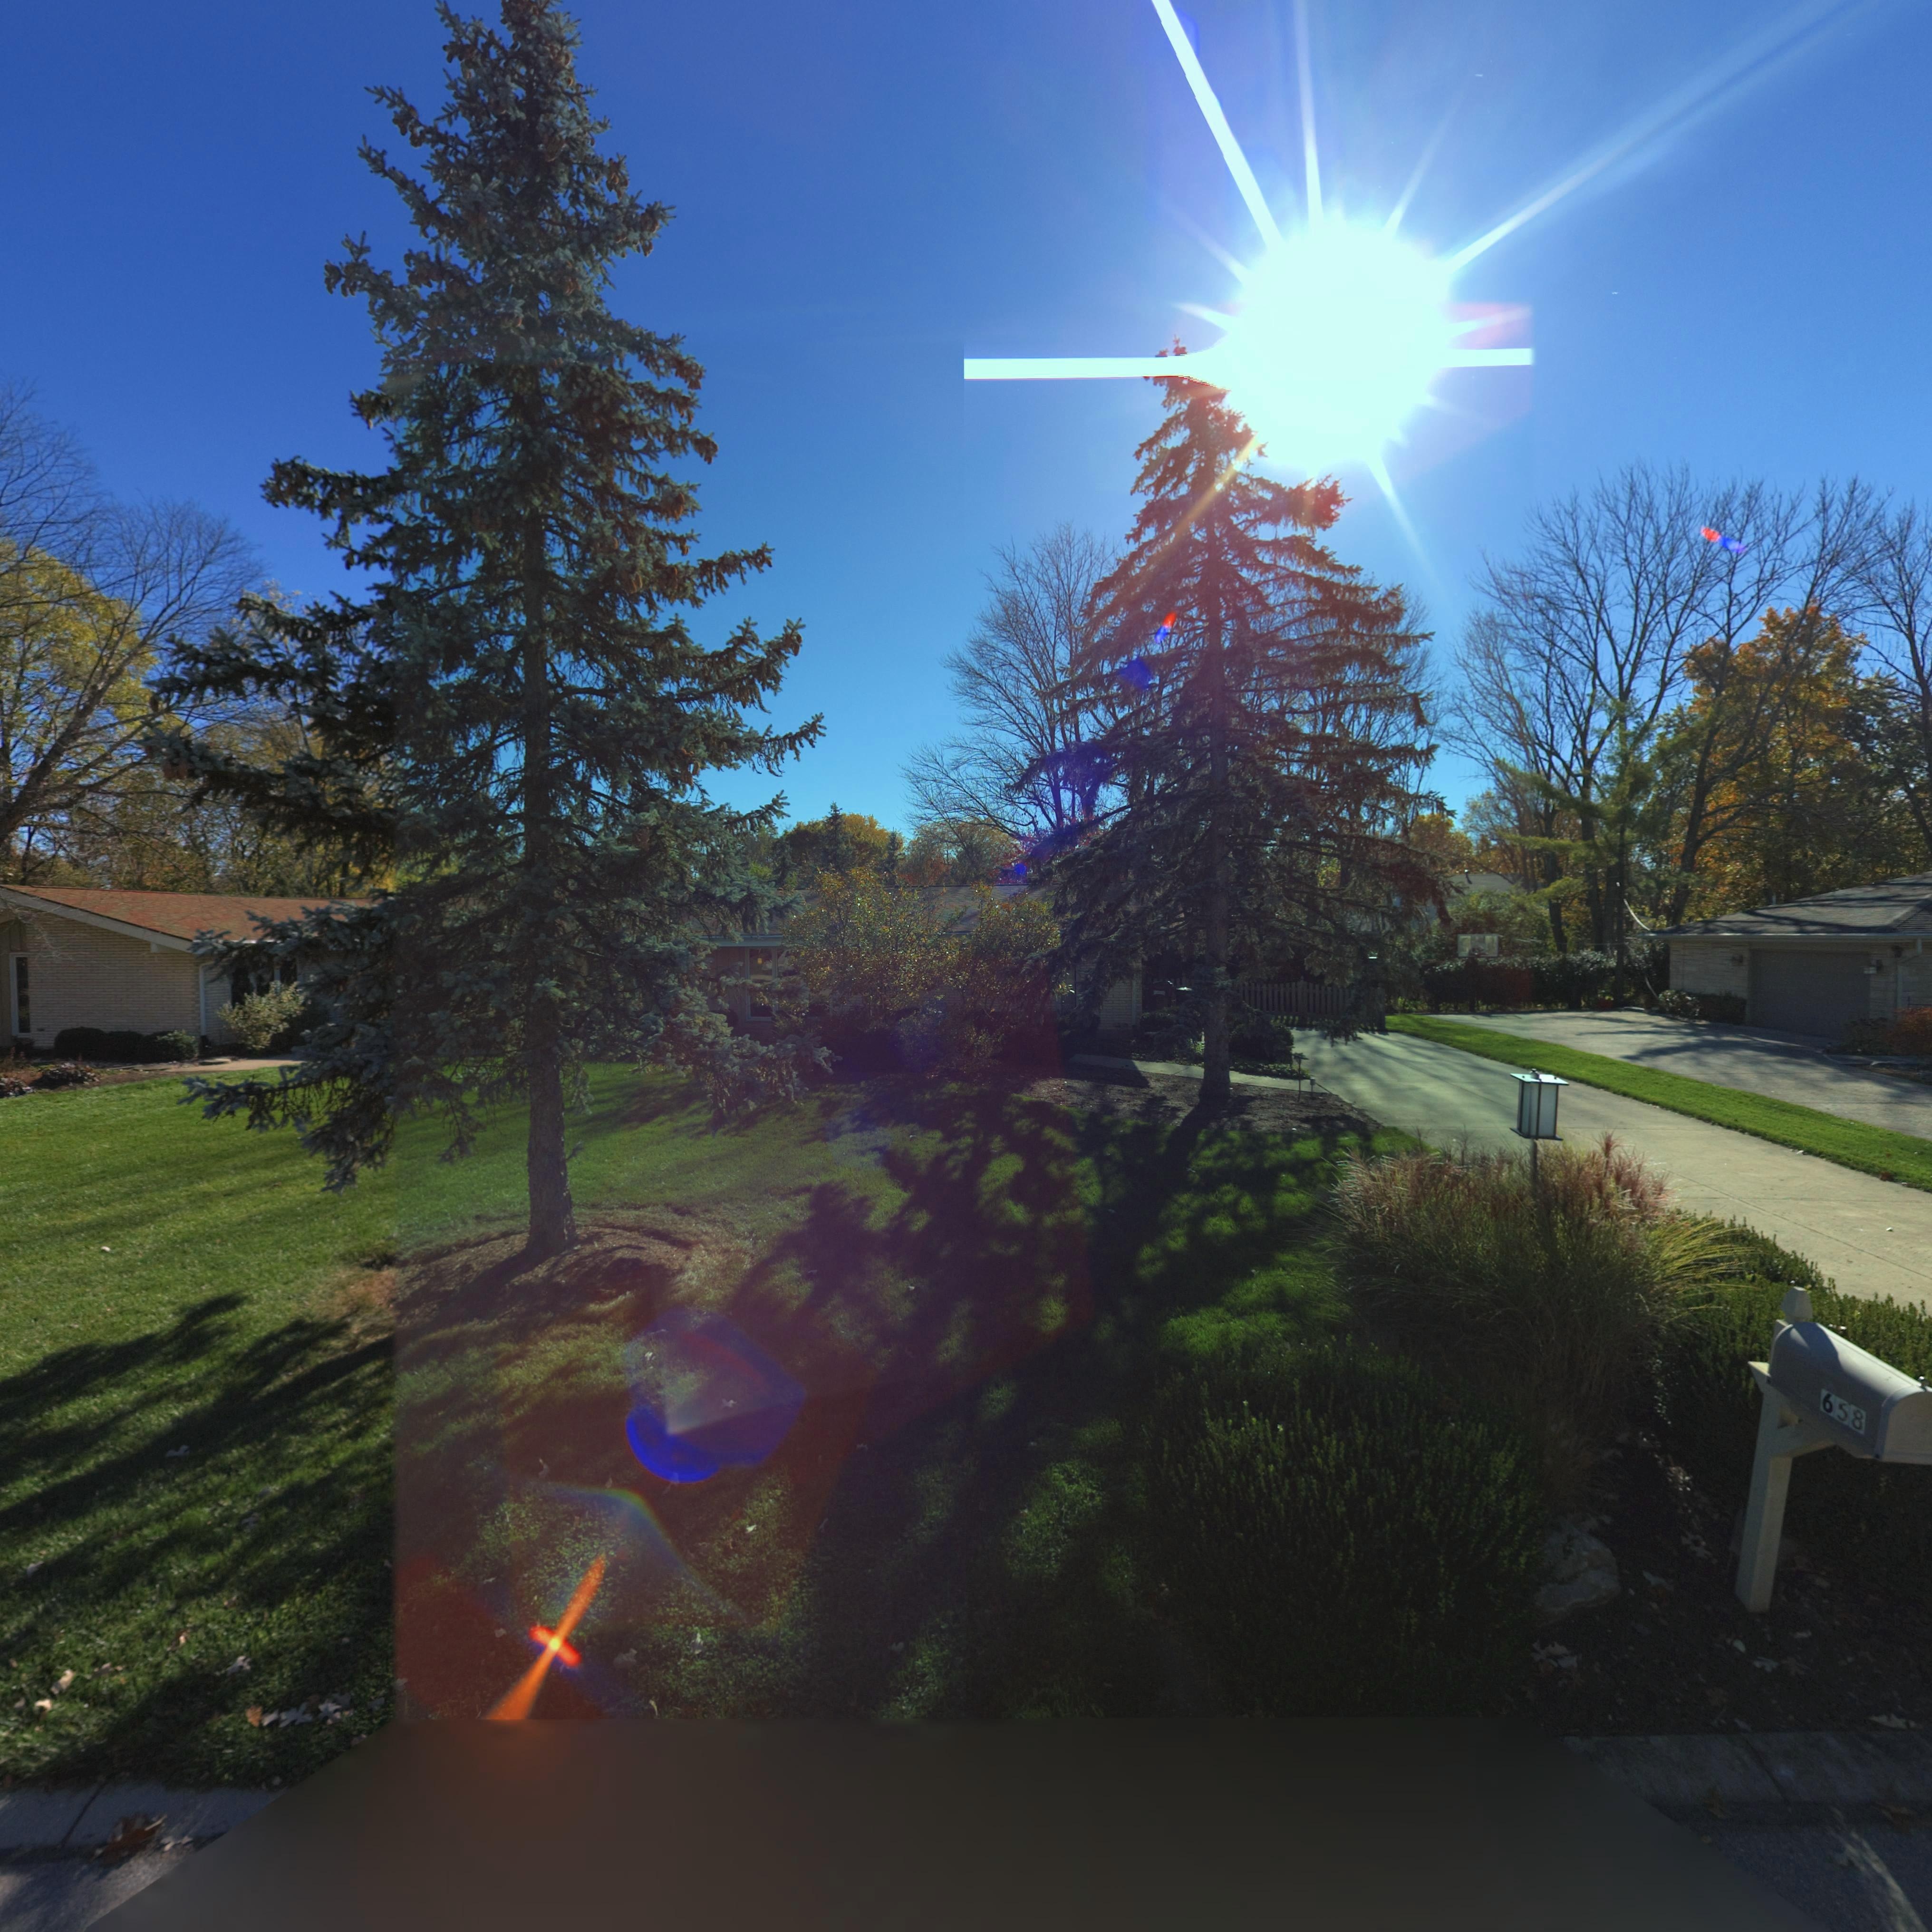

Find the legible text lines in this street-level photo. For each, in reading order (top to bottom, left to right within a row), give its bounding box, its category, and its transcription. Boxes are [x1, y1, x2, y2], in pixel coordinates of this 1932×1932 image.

[1820, 1388, 1866, 1436] StreetNumber: 658